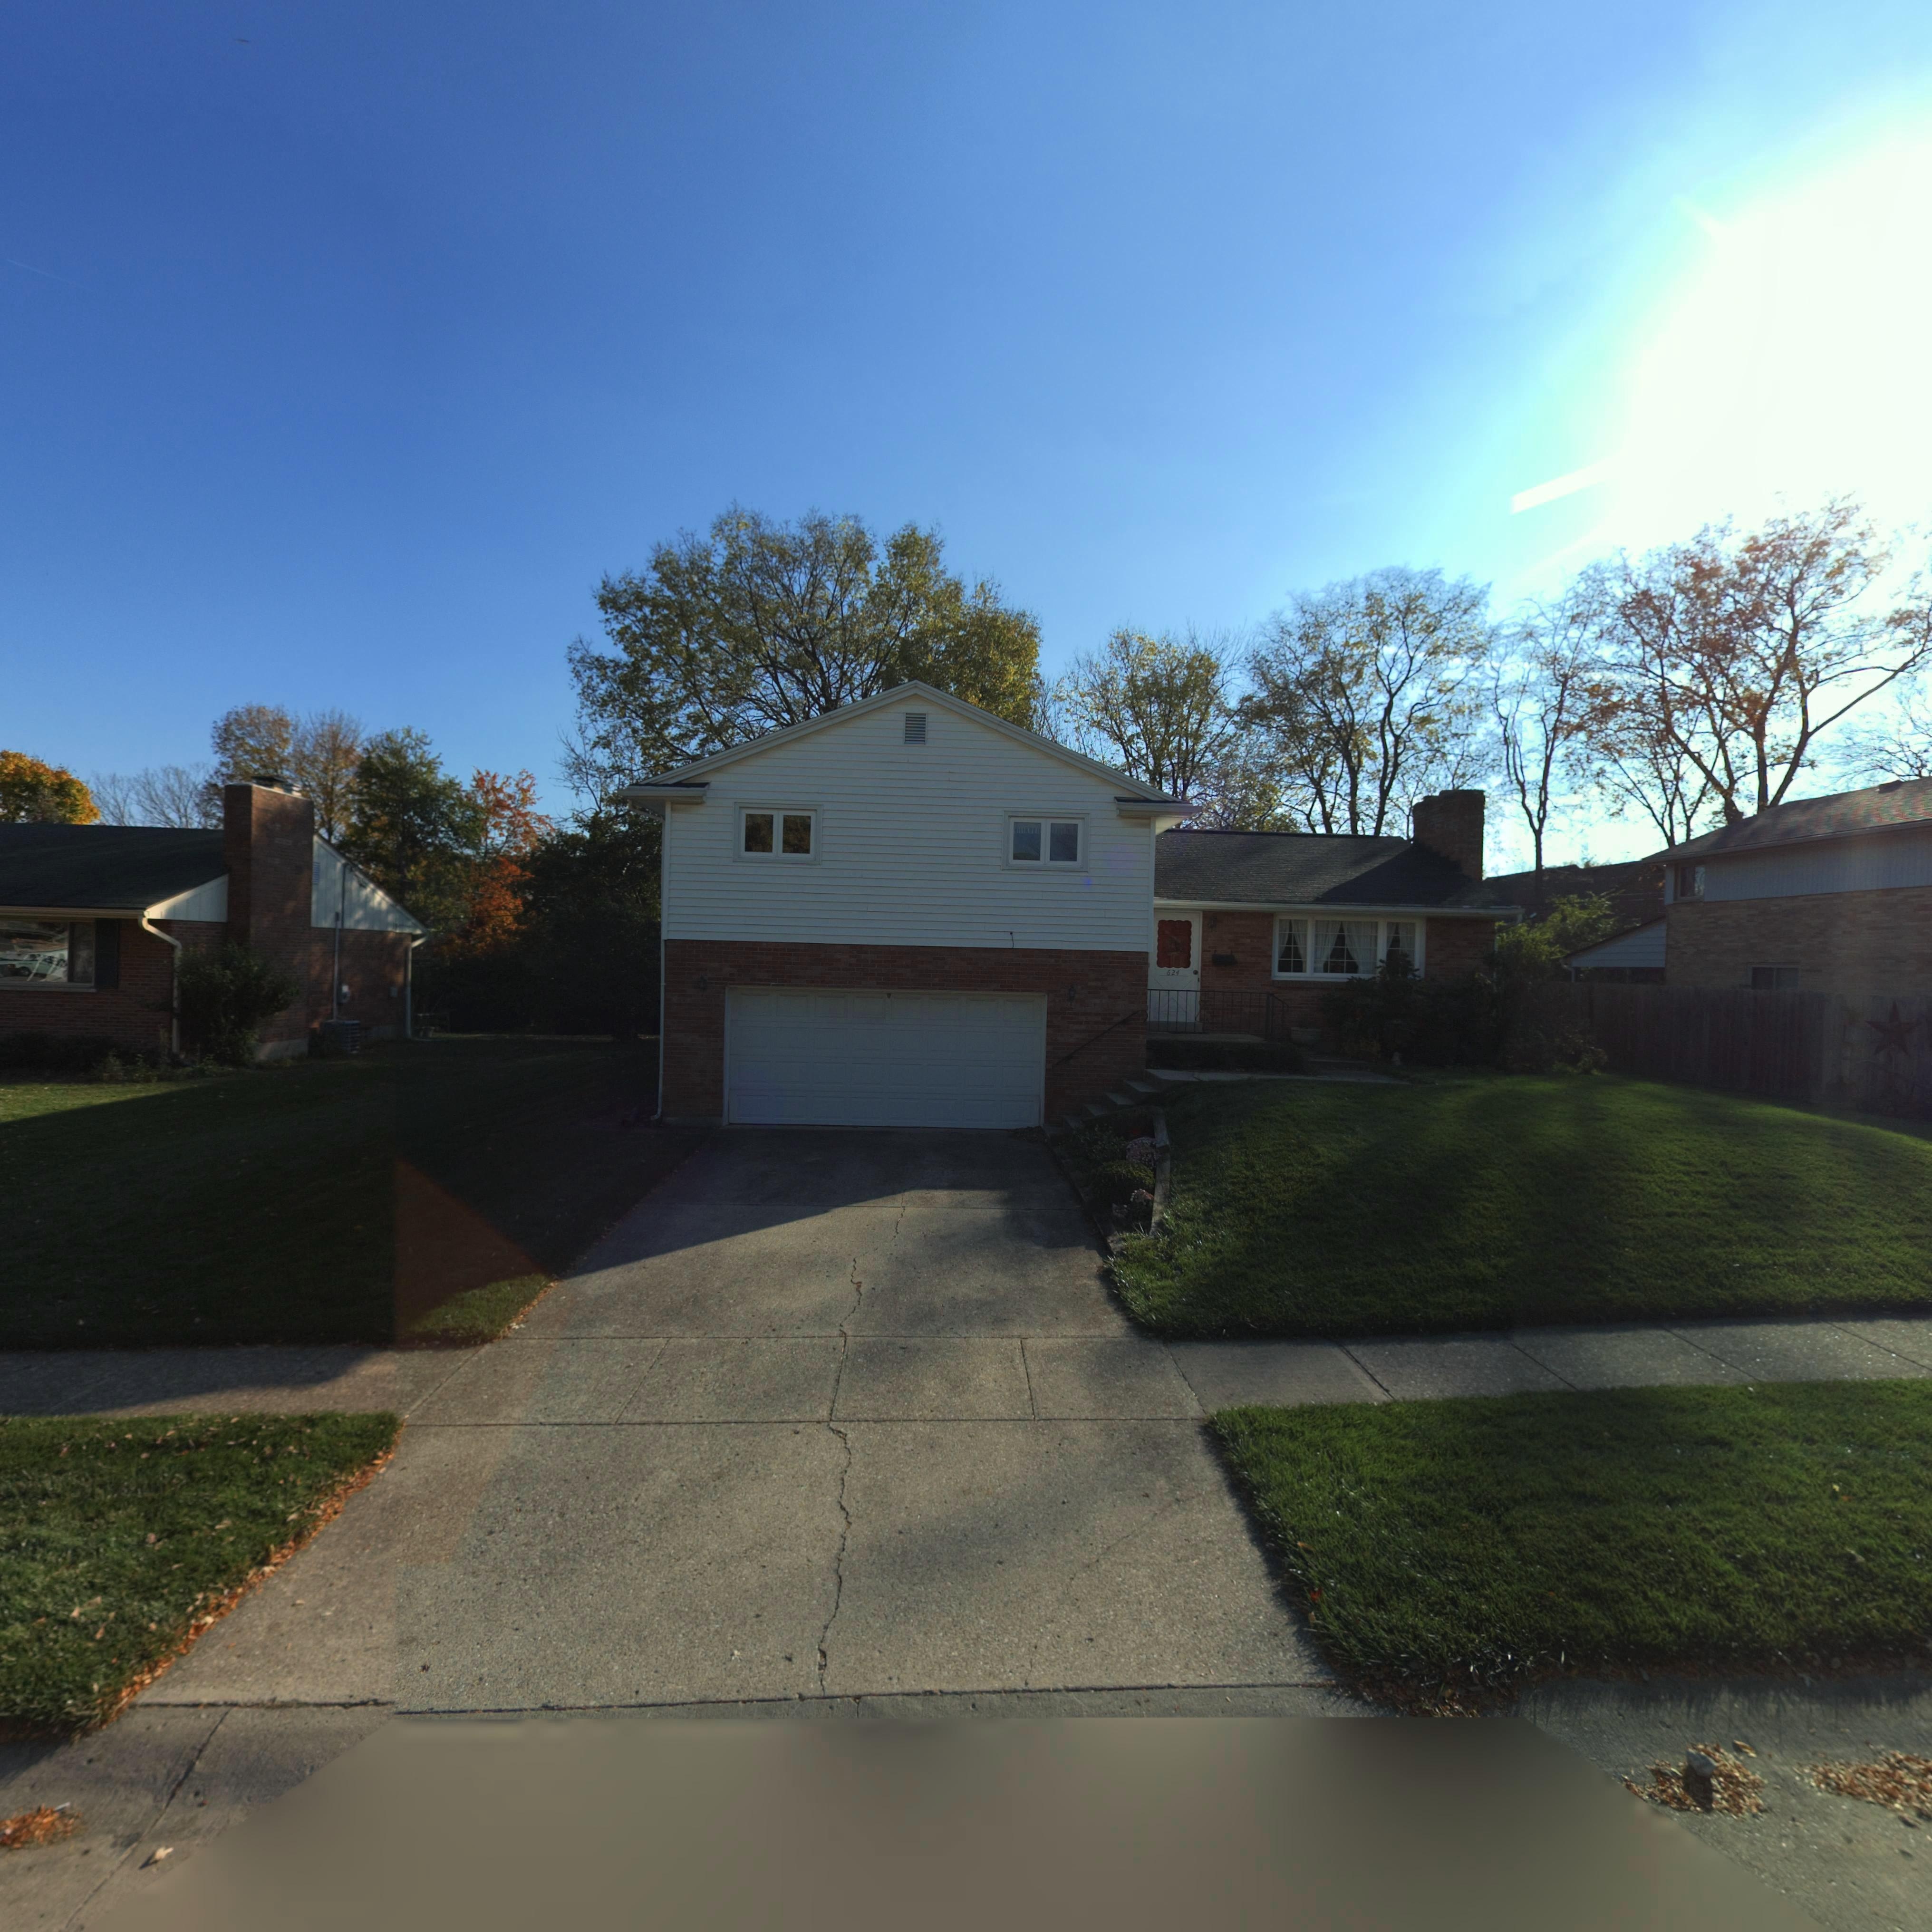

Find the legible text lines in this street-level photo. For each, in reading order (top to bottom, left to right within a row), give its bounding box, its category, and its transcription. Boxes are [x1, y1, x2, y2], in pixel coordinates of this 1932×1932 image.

[1166, 969, 1179, 976] StreetNumber: 624